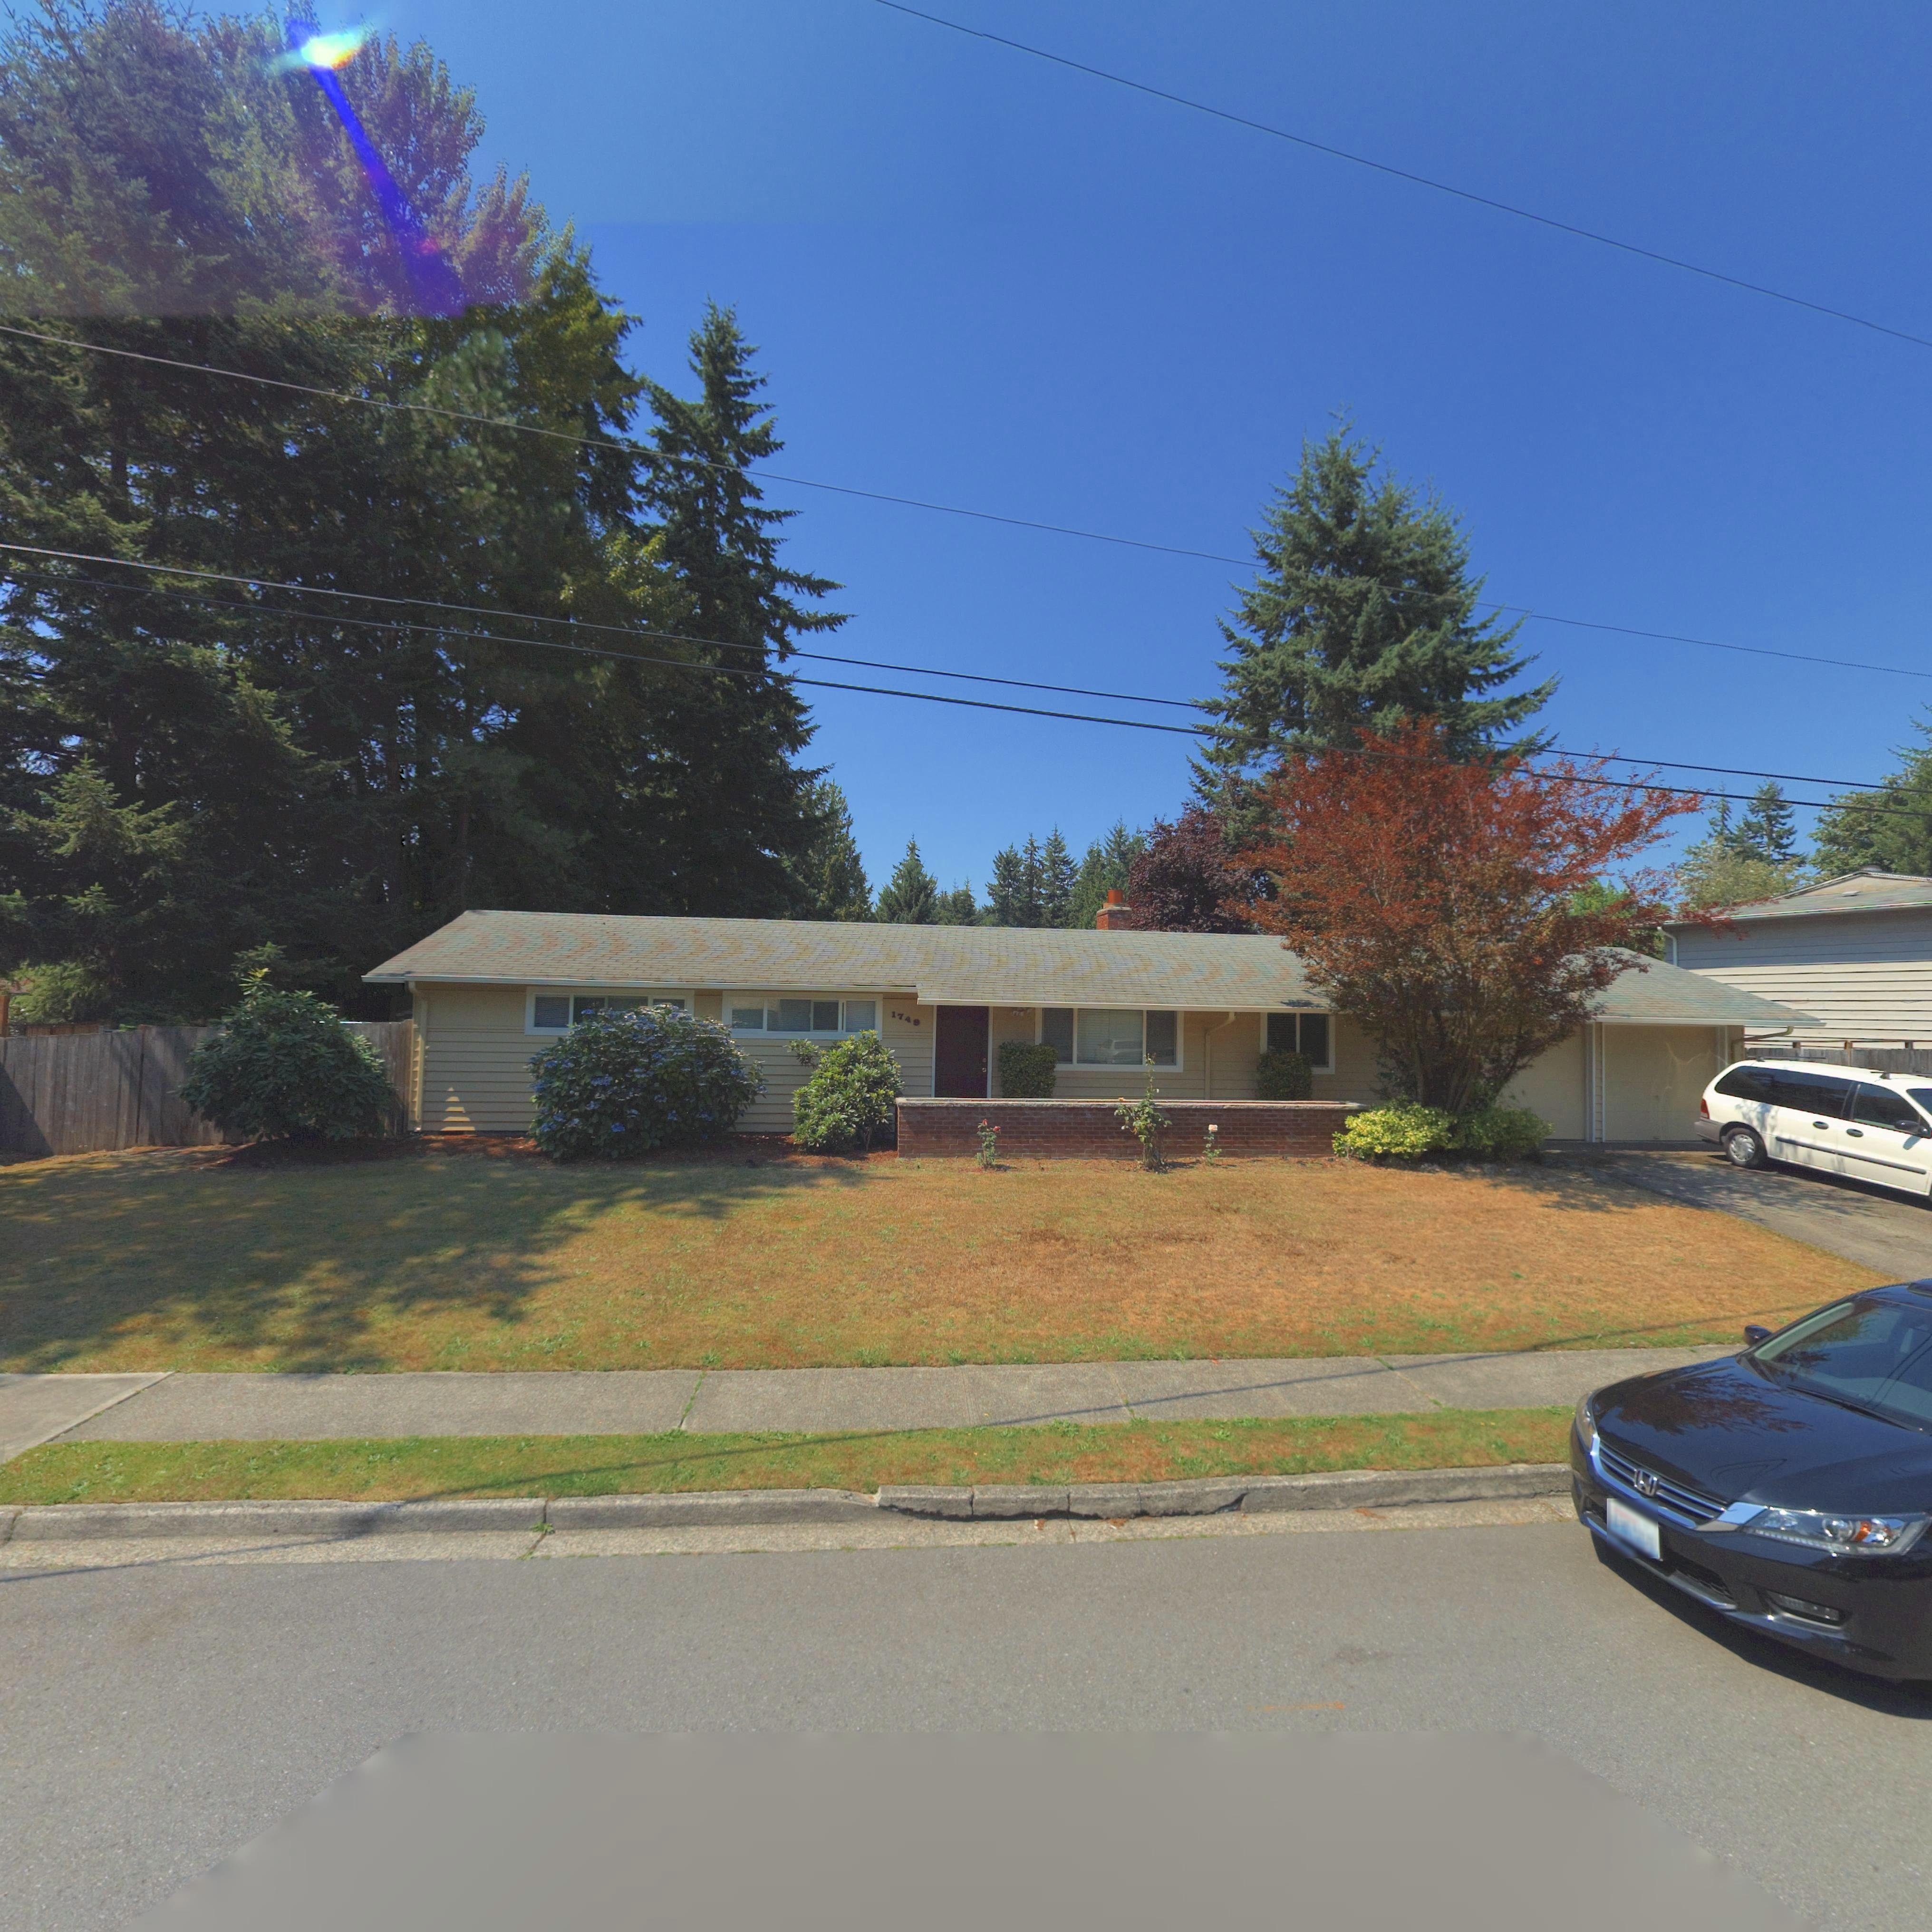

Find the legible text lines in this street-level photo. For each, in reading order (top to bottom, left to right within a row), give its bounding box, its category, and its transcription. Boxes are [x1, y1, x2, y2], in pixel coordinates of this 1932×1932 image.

[891, 1011, 920, 1026] StreetNumber: 1748